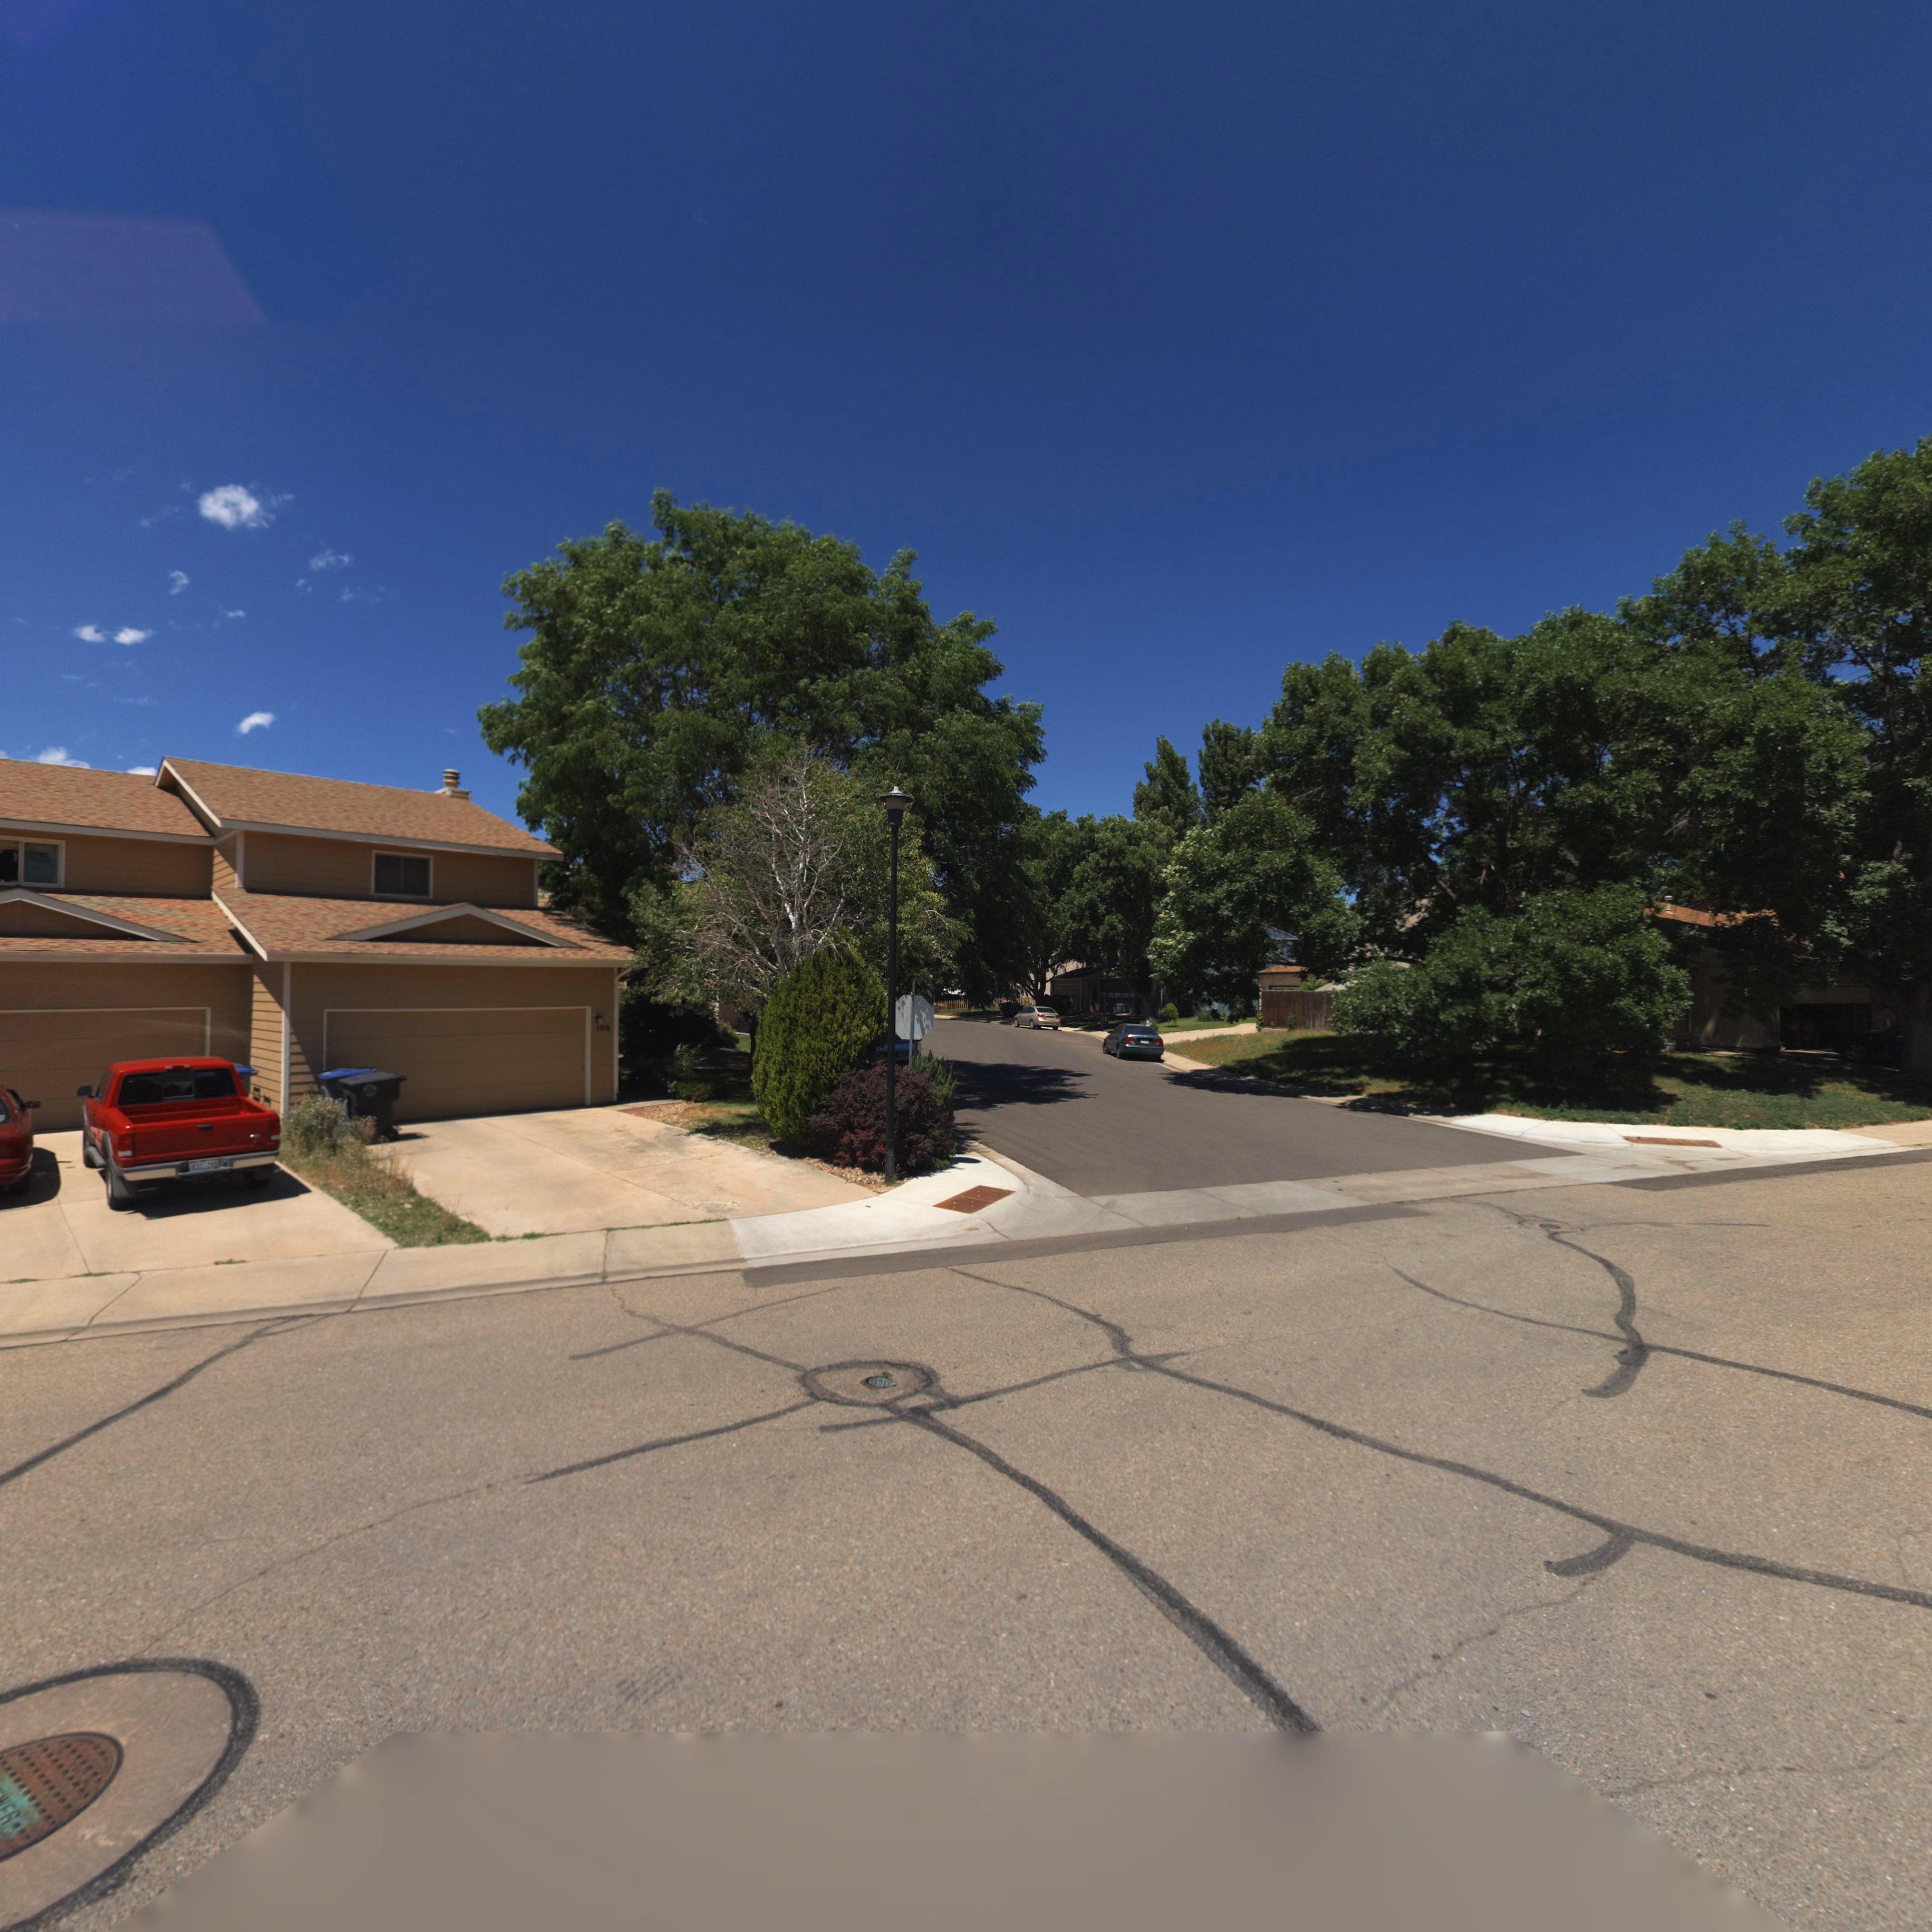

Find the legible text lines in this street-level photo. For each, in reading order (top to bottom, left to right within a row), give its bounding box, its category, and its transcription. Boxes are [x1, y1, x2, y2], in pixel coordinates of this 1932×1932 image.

[597, 1024, 610, 1031] StreetNumber: 100